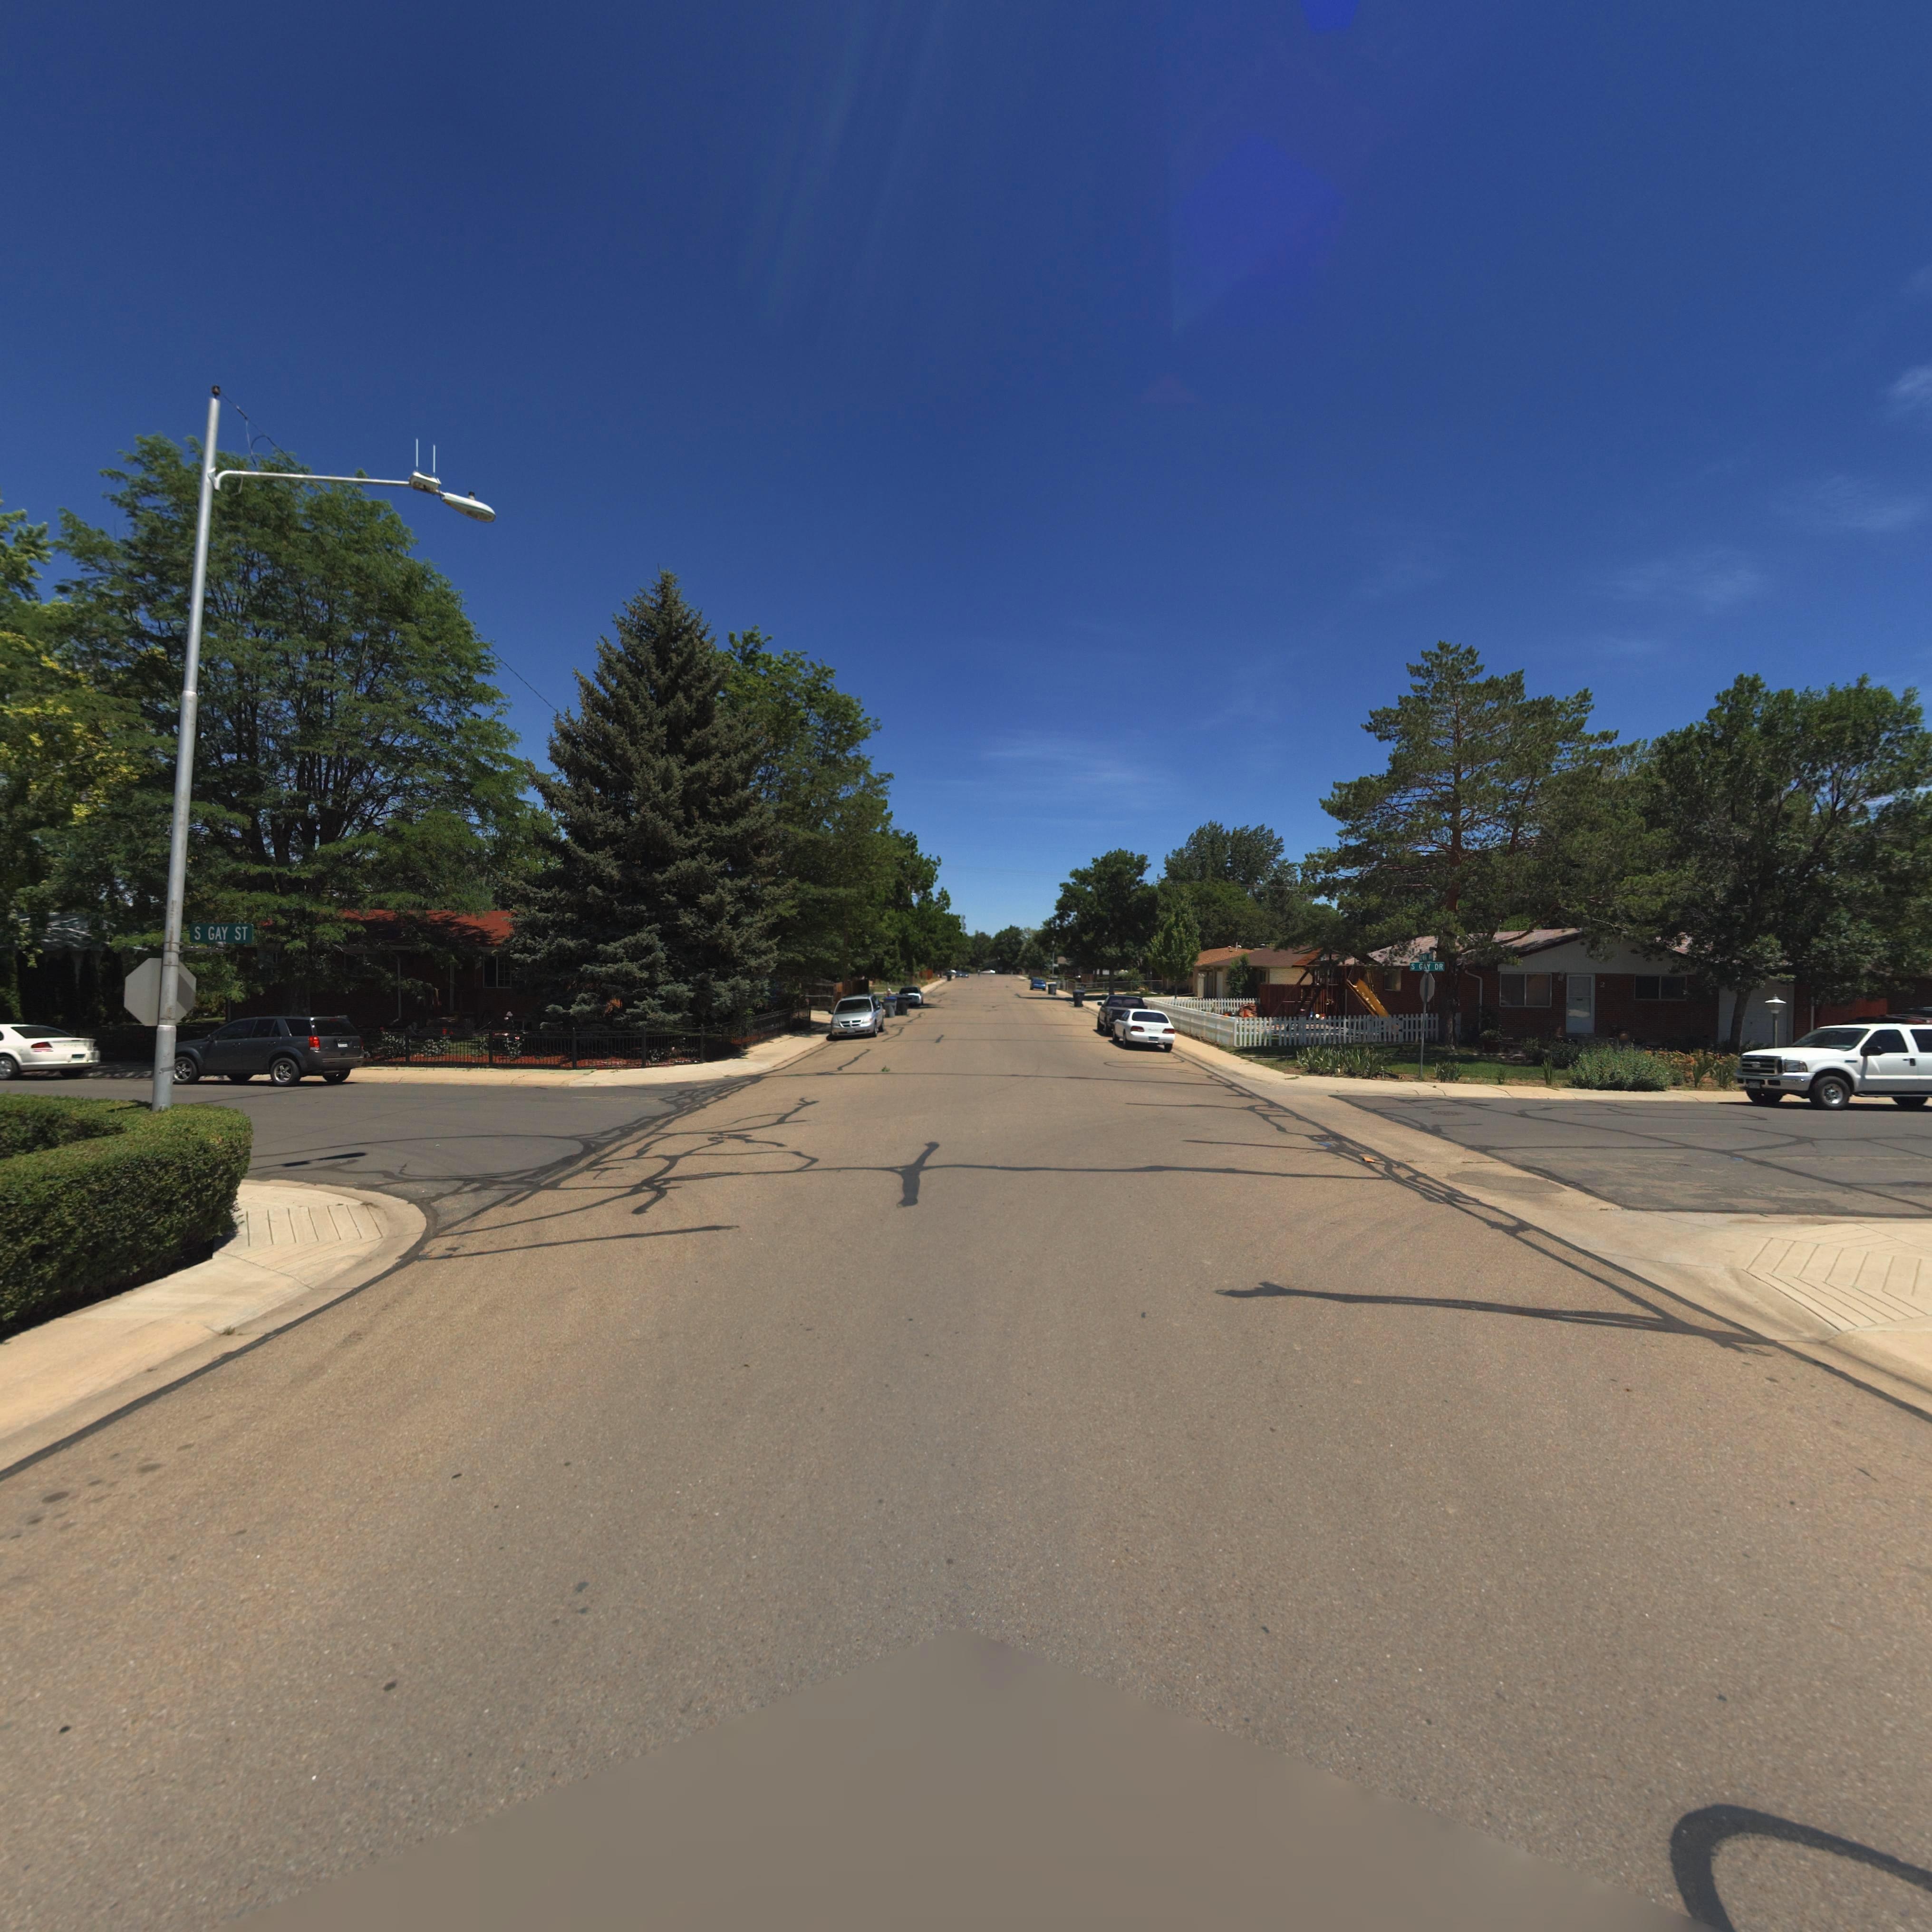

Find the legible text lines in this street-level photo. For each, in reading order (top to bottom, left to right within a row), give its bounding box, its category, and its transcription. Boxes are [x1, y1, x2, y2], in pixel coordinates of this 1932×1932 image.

[193, 925, 248, 940] StreetName: S GAY ST
[1419, 952, 1433, 961] StreetName: IOWA **
[1411, 963, 1443, 970] StreetName: S GAY DR
[1599, 981, 1605, 987] StreetNumber: 2